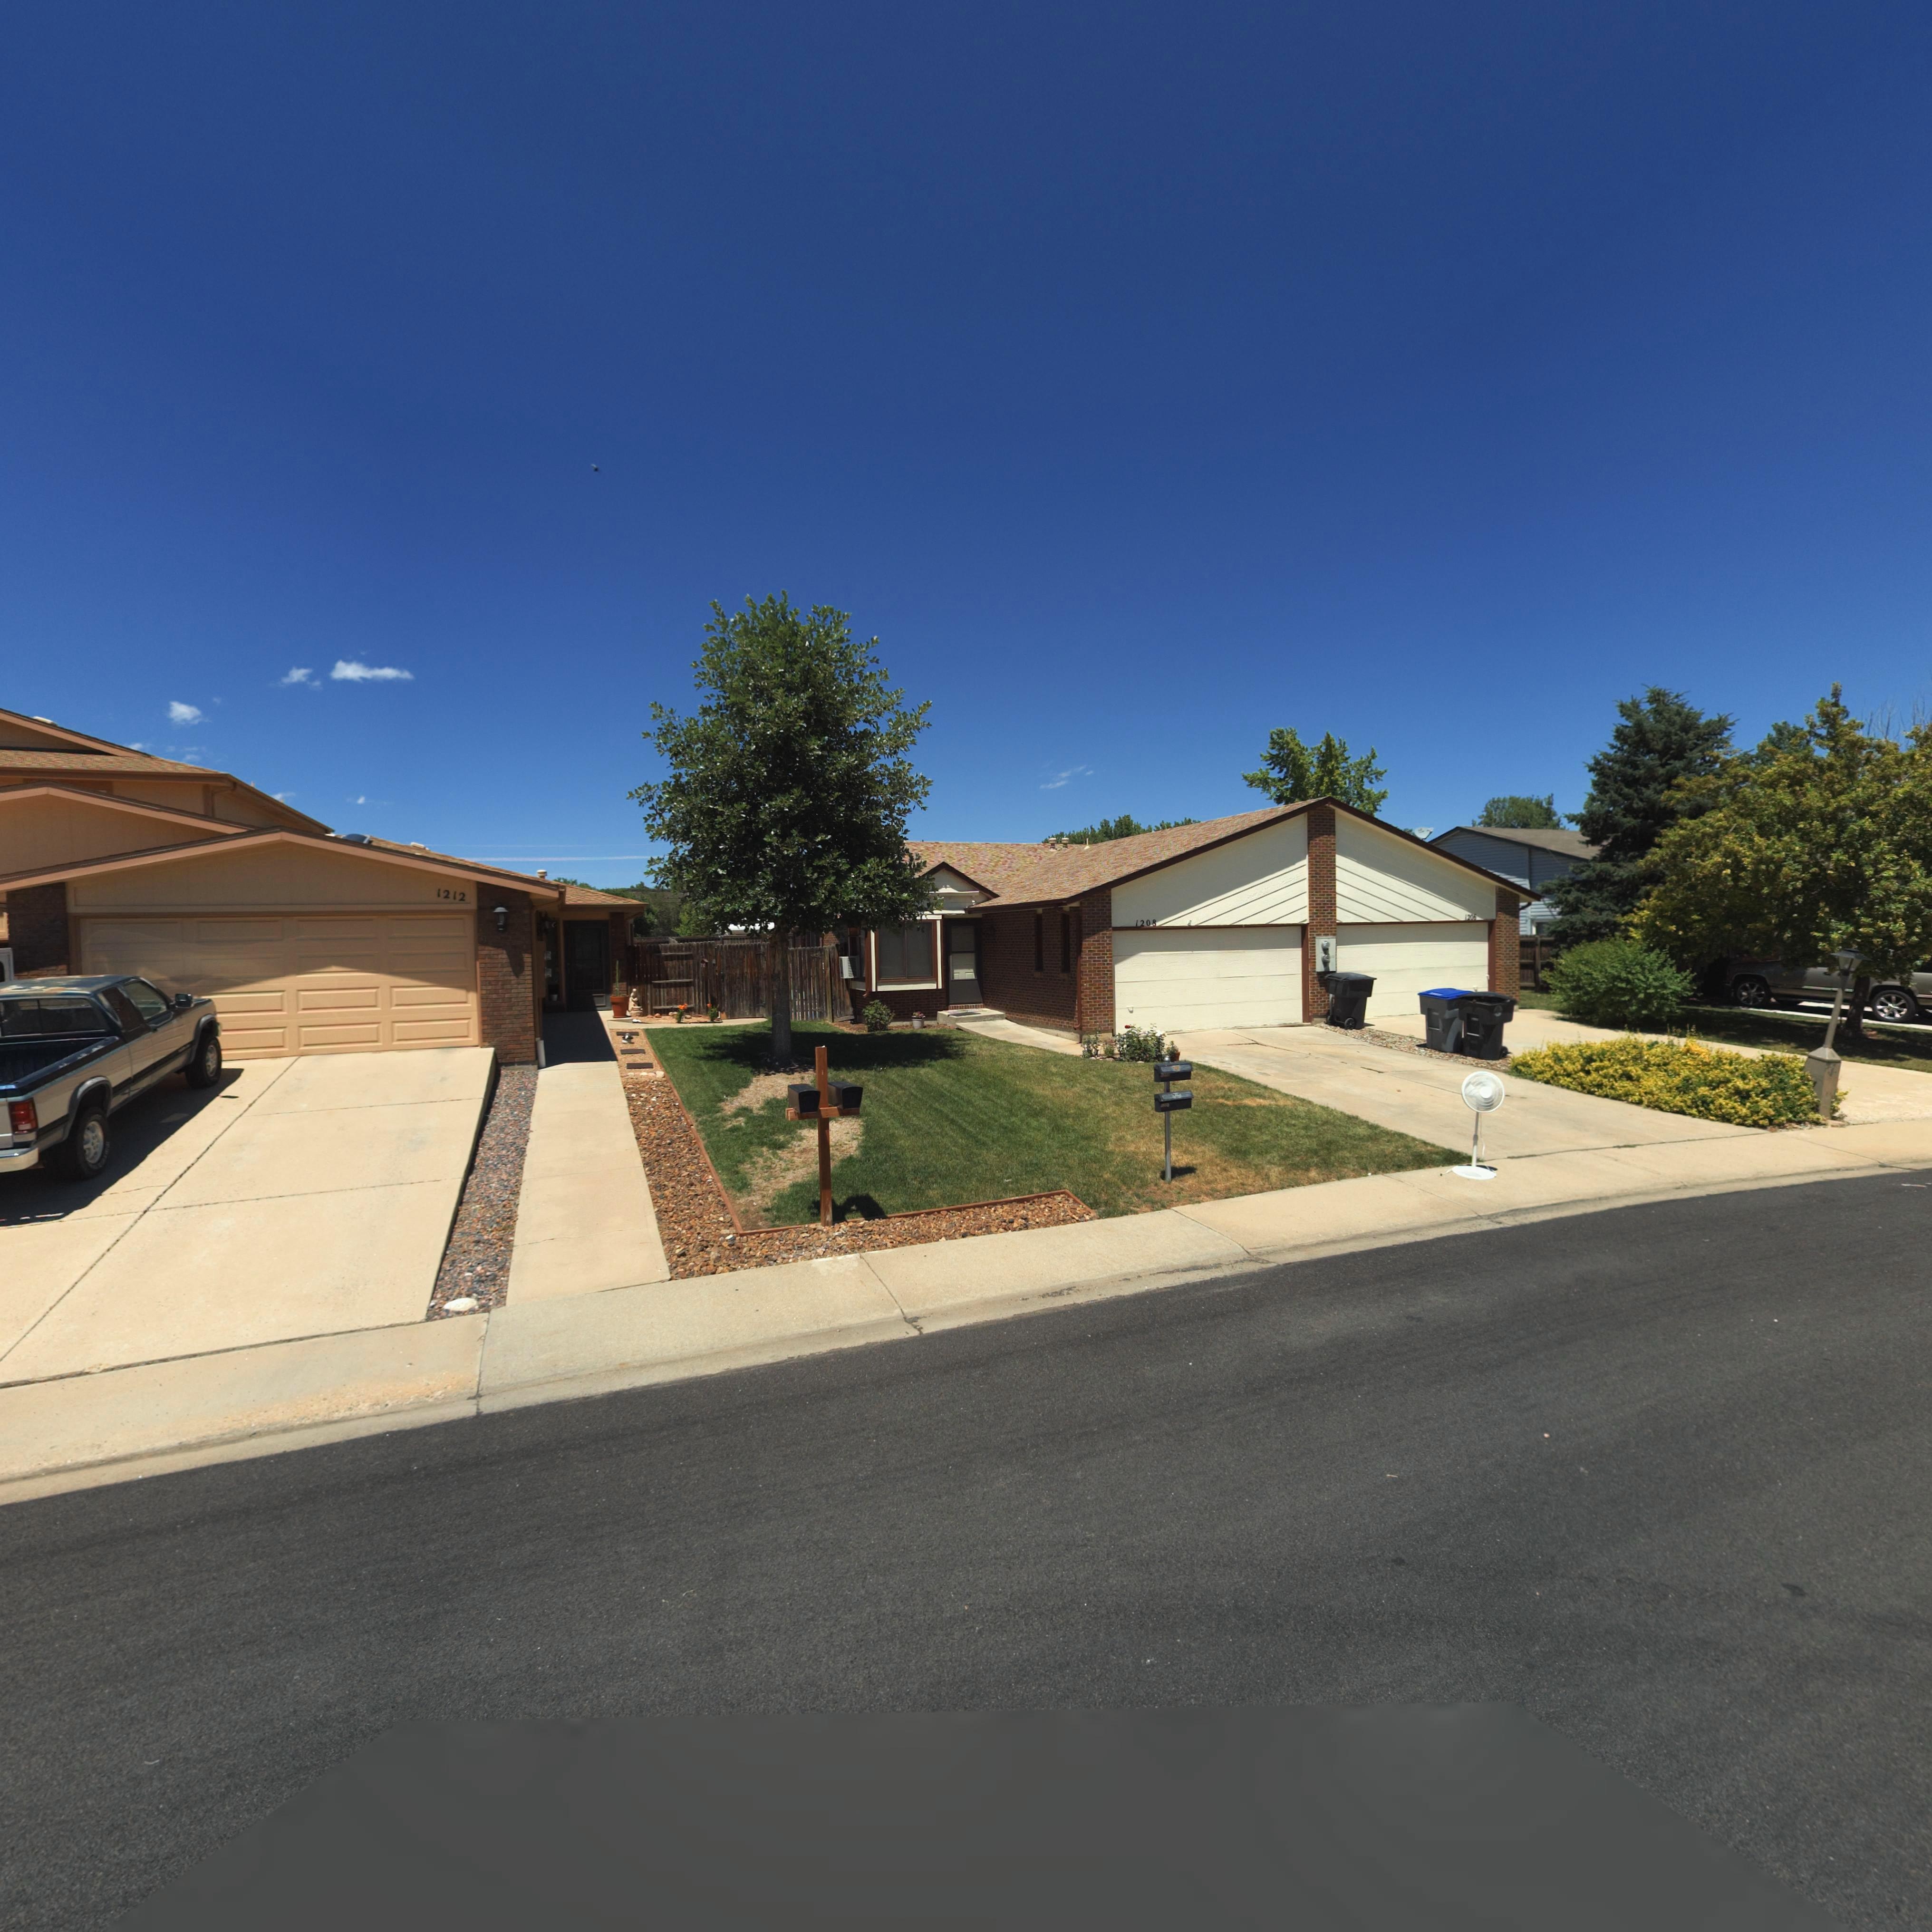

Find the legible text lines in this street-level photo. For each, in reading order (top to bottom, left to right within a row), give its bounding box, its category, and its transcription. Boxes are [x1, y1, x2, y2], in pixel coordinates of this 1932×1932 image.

[436, 887, 466, 902] StreetNumber: 1212
[1464, 913, 1476, 920] StreetNumber: 1206
[1134, 918, 1157, 927] StreetNumber: 1208